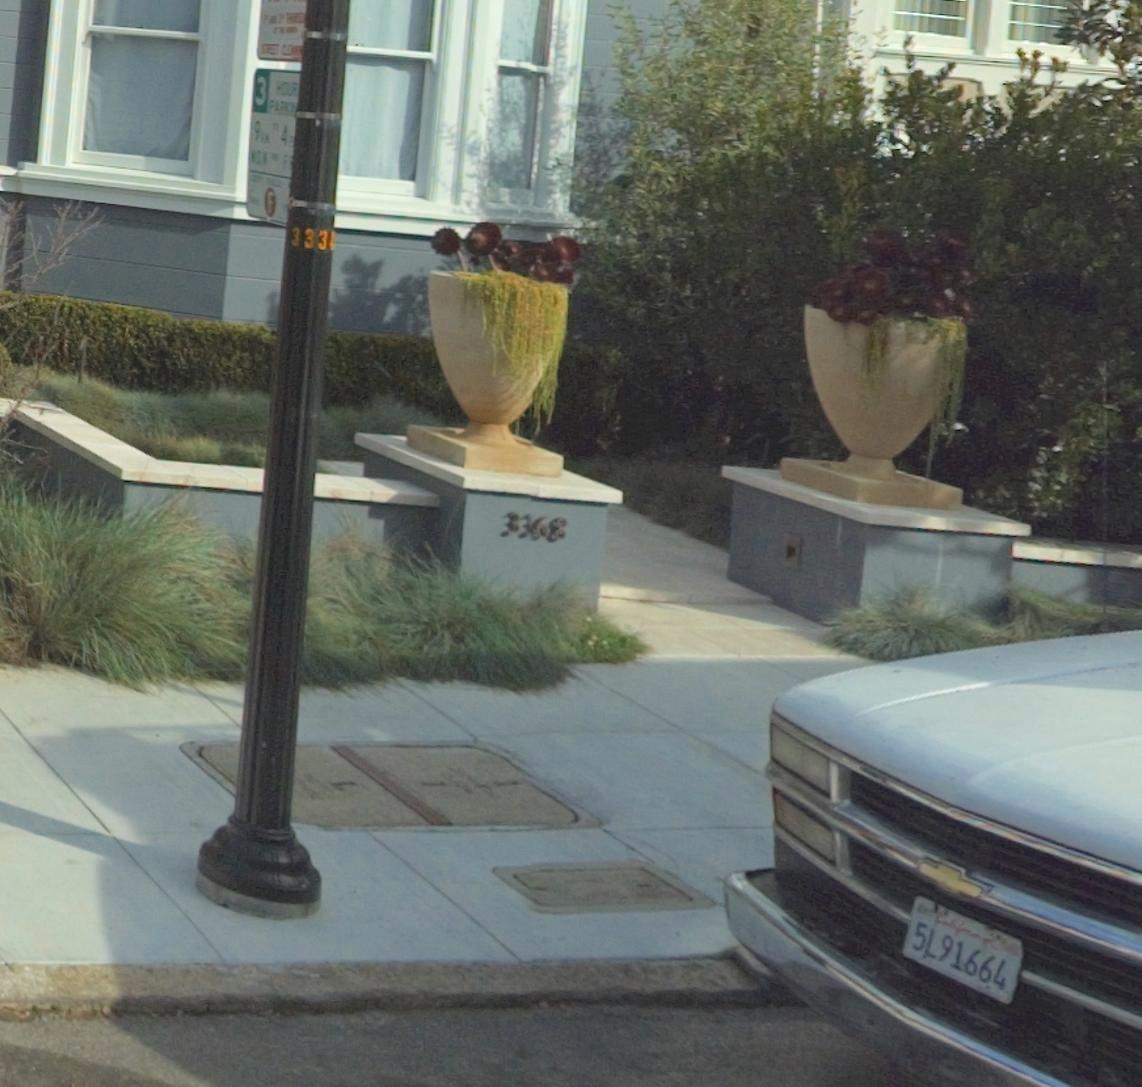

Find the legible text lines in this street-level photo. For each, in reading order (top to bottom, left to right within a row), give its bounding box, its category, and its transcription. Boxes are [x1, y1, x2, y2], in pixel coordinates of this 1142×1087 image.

[251, 72, 270, 109] None: 3
[272, 77, 302, 100] None: HOUR
[250, 116, 265, 145] None: 9
[277, 121, 290, 152] None: 4
[264, 187, 278, 217] None: F
[287, 222, 339, 254] None: 333*
[497, 507, 570, 546] StreetNumber: 3368
[907, 915, 1010, 994] None: 5L91664